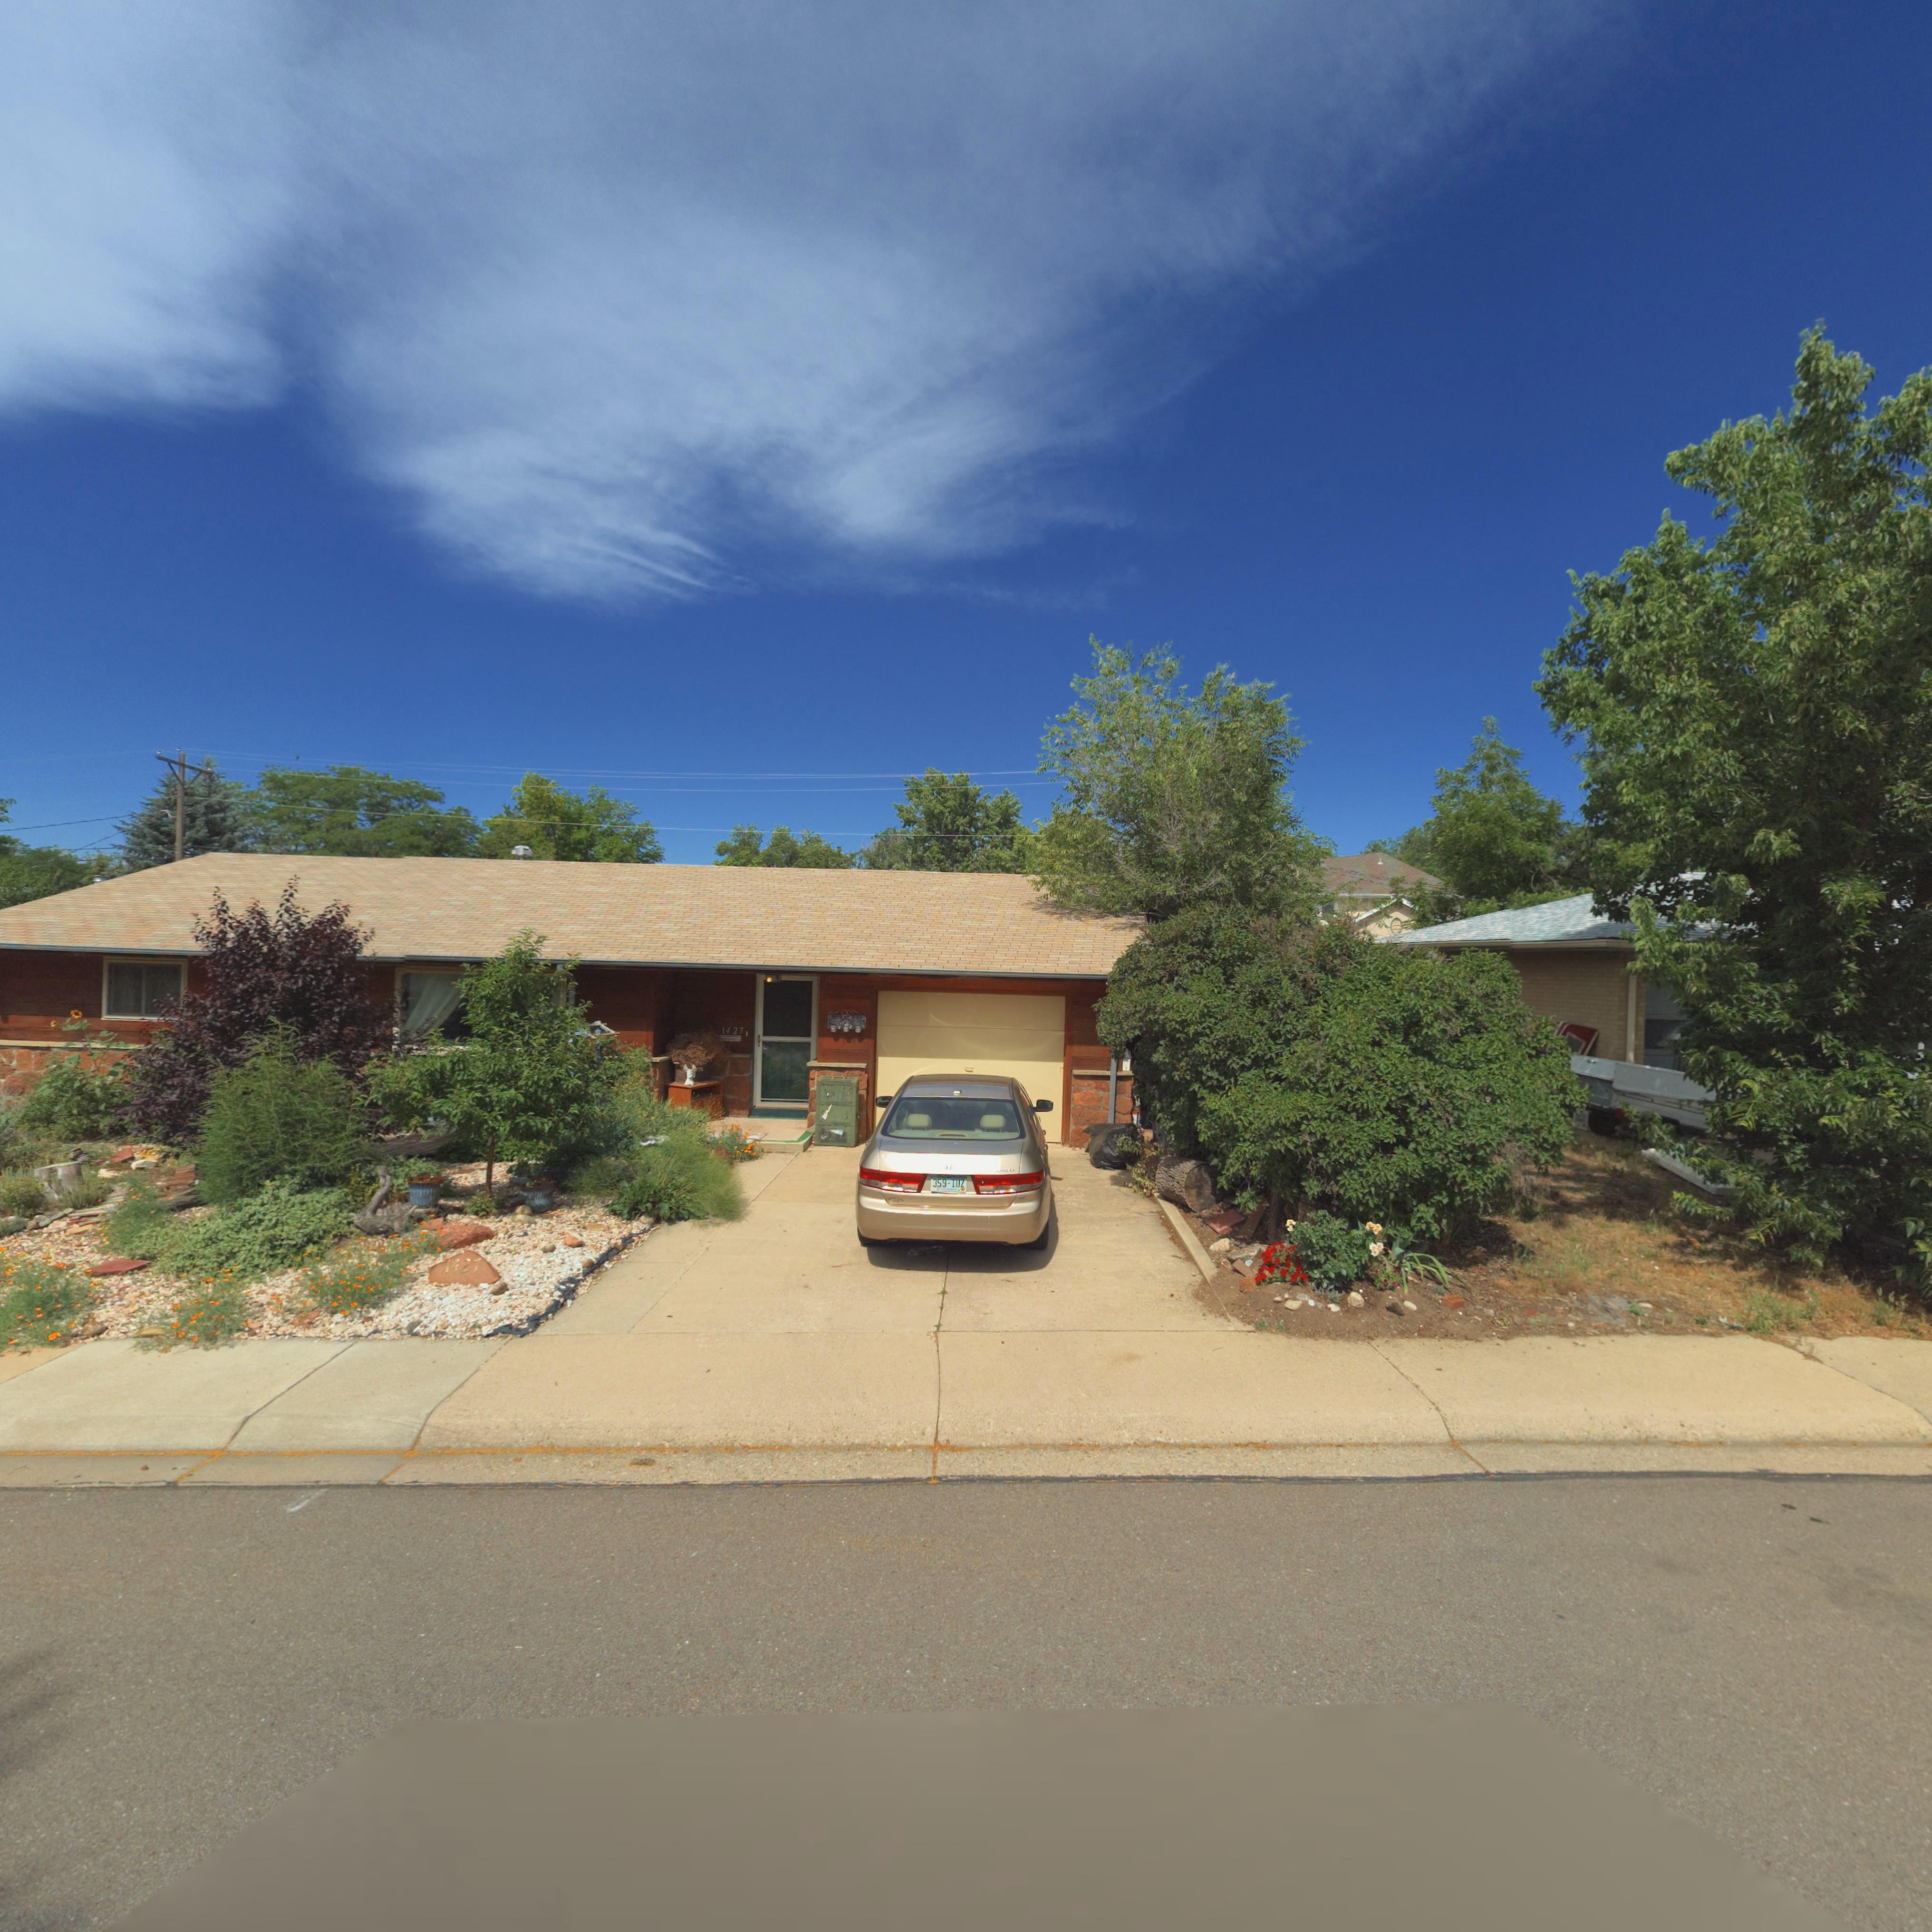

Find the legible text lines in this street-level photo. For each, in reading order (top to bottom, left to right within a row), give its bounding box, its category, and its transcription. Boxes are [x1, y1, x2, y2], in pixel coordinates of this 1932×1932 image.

[722, 1026, 744, 1035] StreetNumber: 1427
[443, 1256, 483, 1274] StreetNumber: 1427